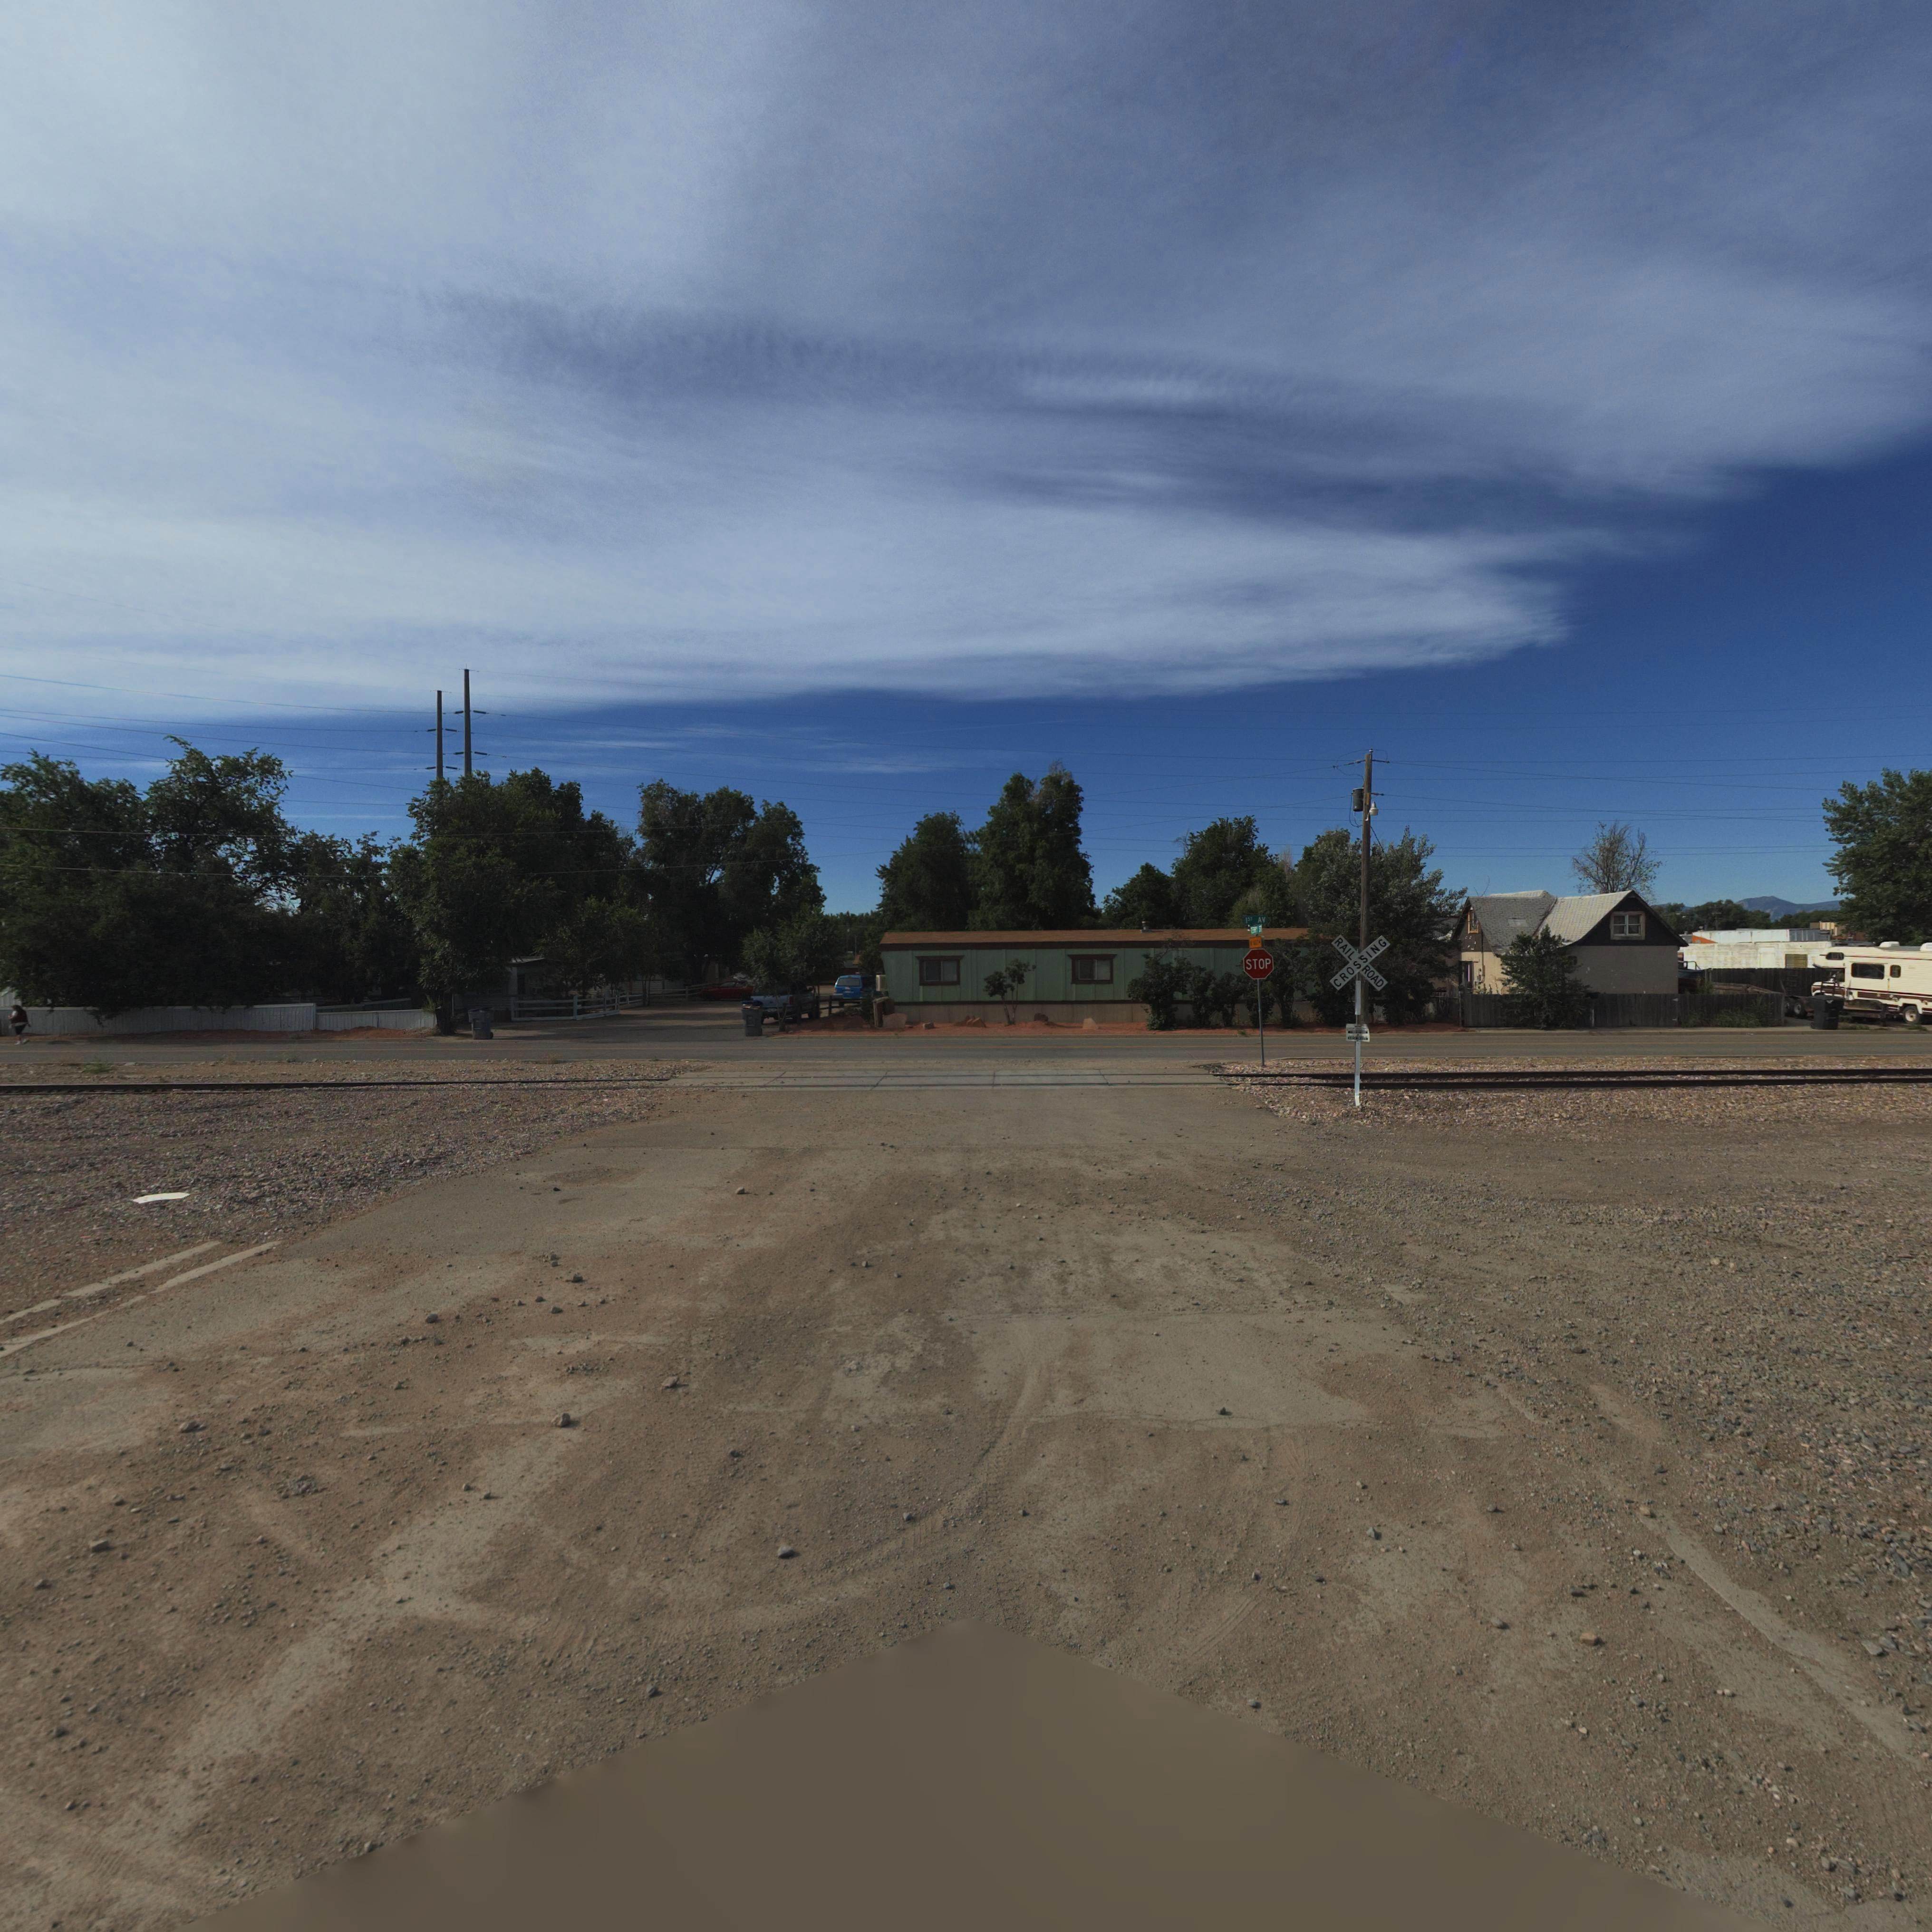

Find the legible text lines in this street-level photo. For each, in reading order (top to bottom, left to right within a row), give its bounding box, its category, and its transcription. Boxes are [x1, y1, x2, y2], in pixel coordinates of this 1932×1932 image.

[1245, 916, 1266, 924] StreetName: 1ST AV
[1250, 925, 1262, 934] StreetName: * ST
[1332, 938, 1387, 988] BusinessName: CROSSING